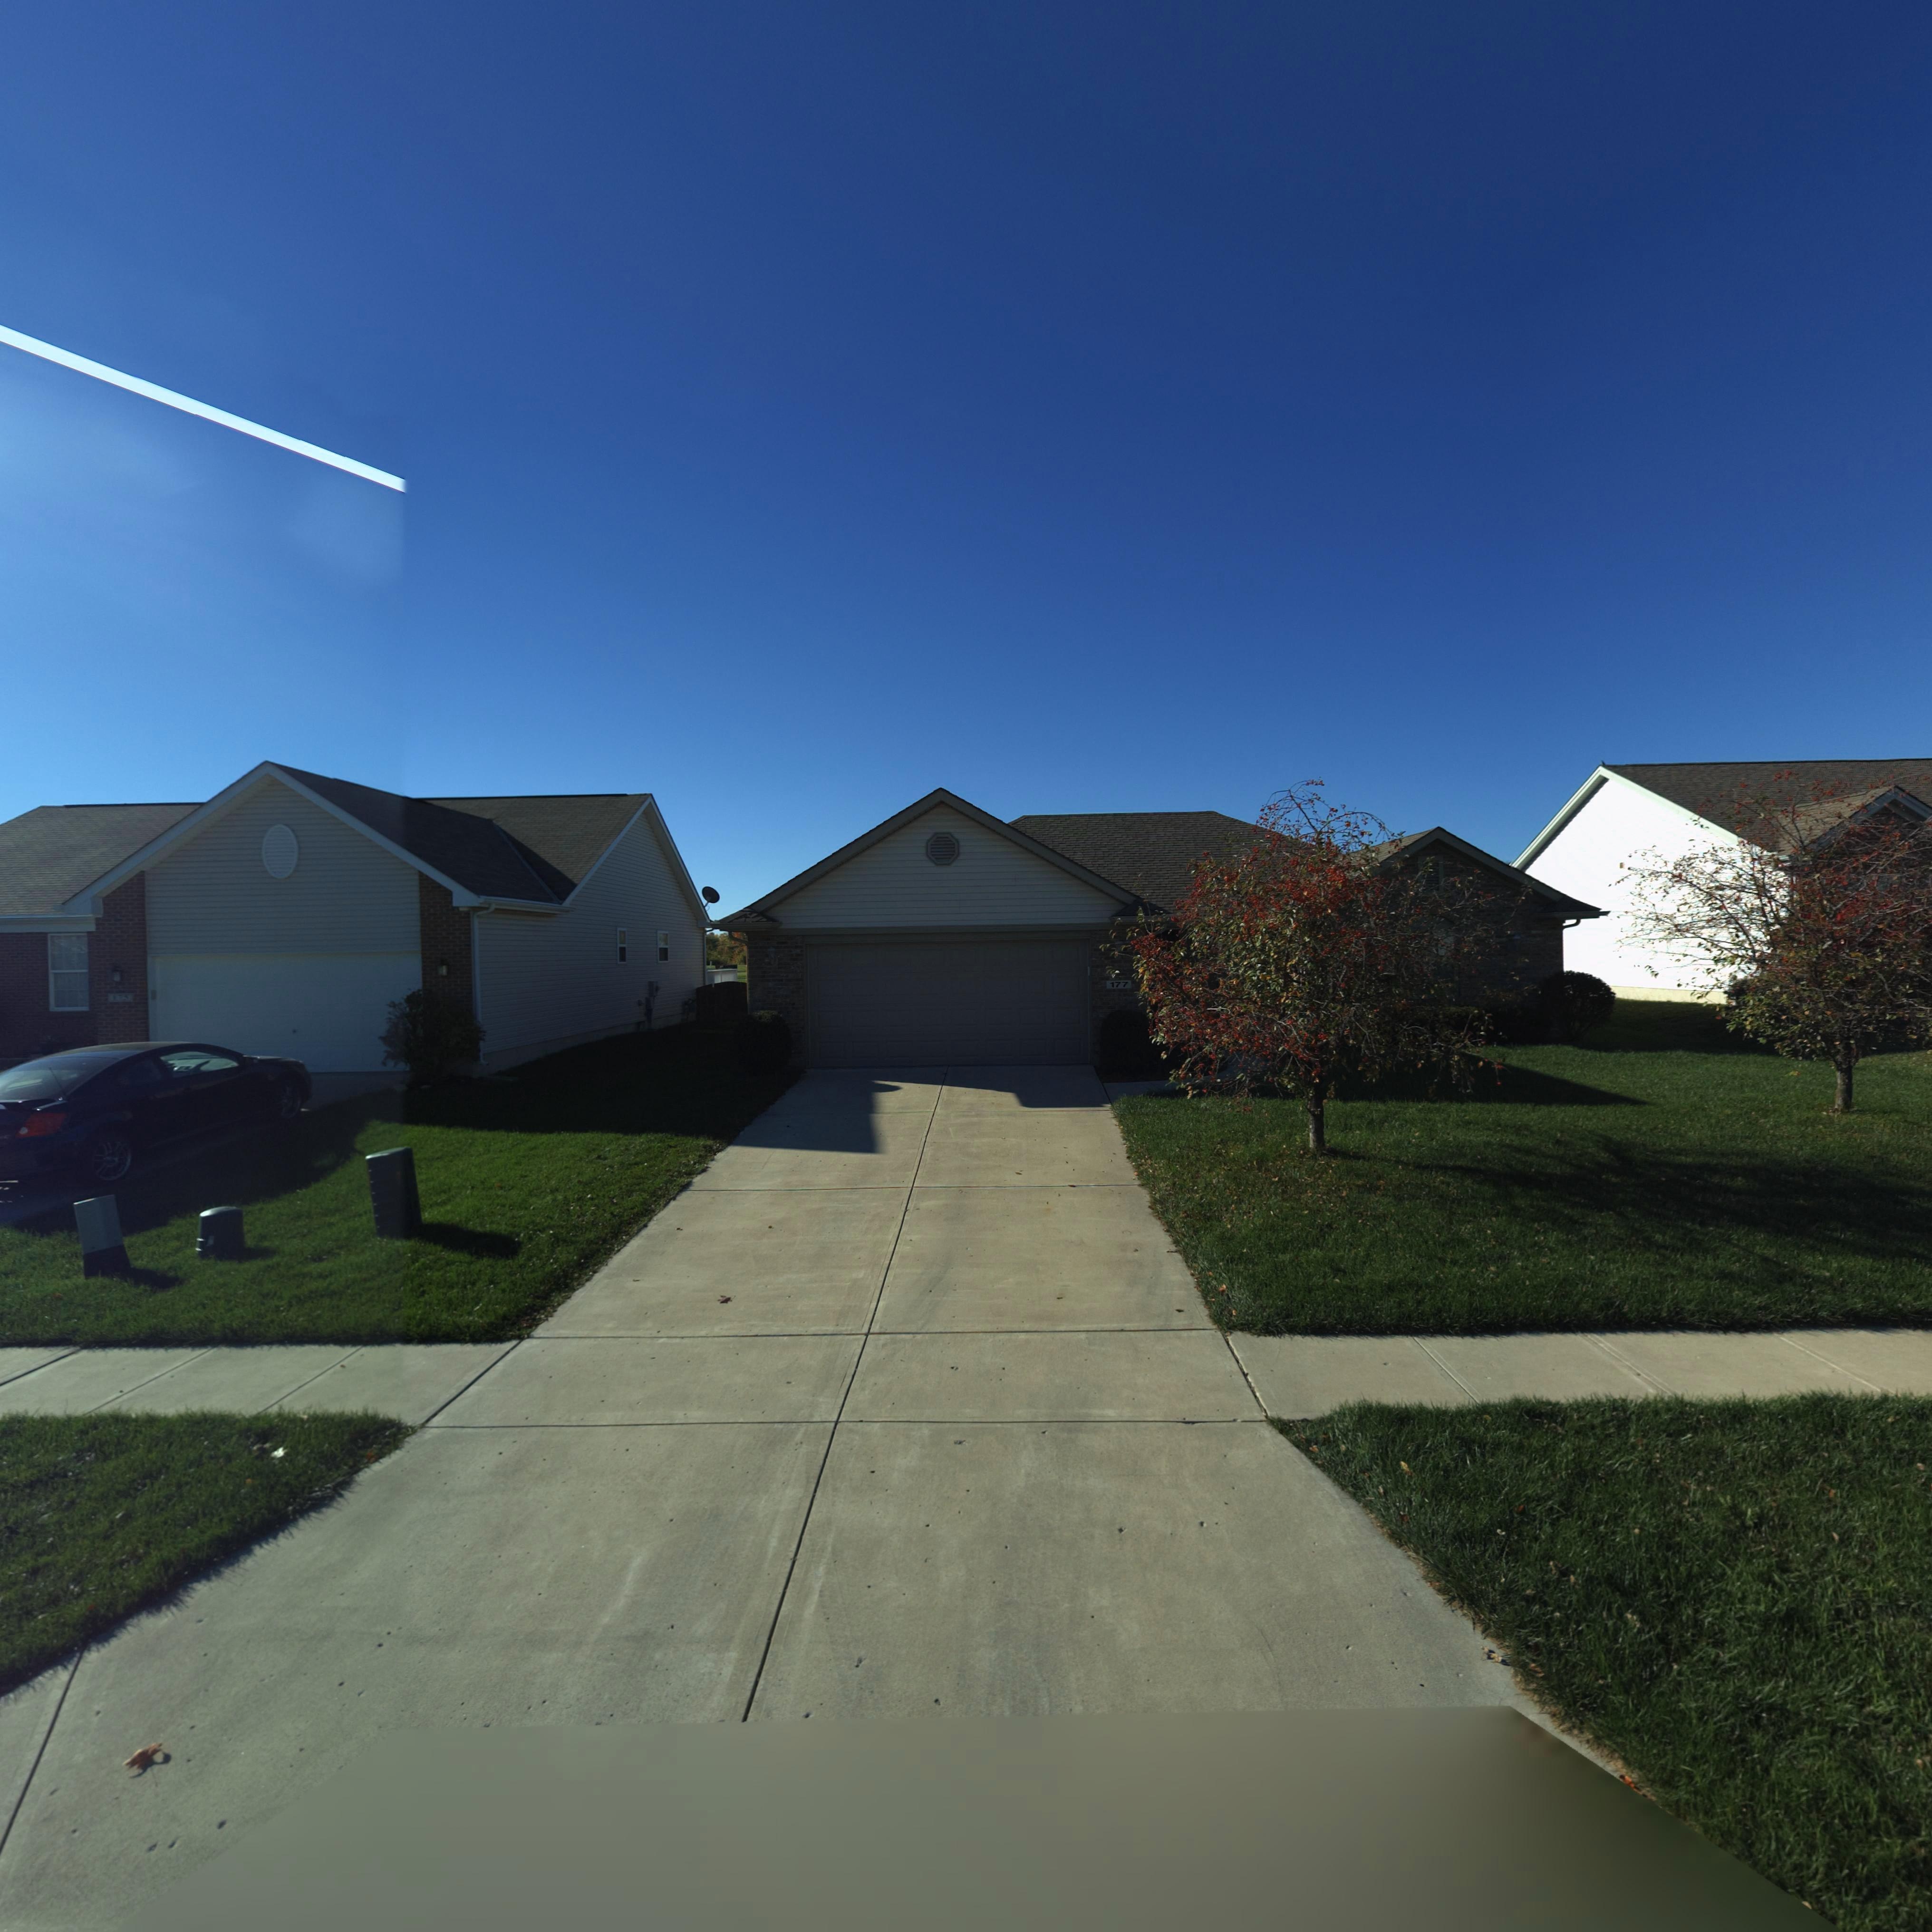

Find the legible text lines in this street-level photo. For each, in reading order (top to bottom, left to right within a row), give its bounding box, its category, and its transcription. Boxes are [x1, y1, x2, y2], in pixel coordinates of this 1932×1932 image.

[1109, 981, 1128, 987] StreetNumber: 177
[112, 994, 129, 1002] StreetNumber: 175